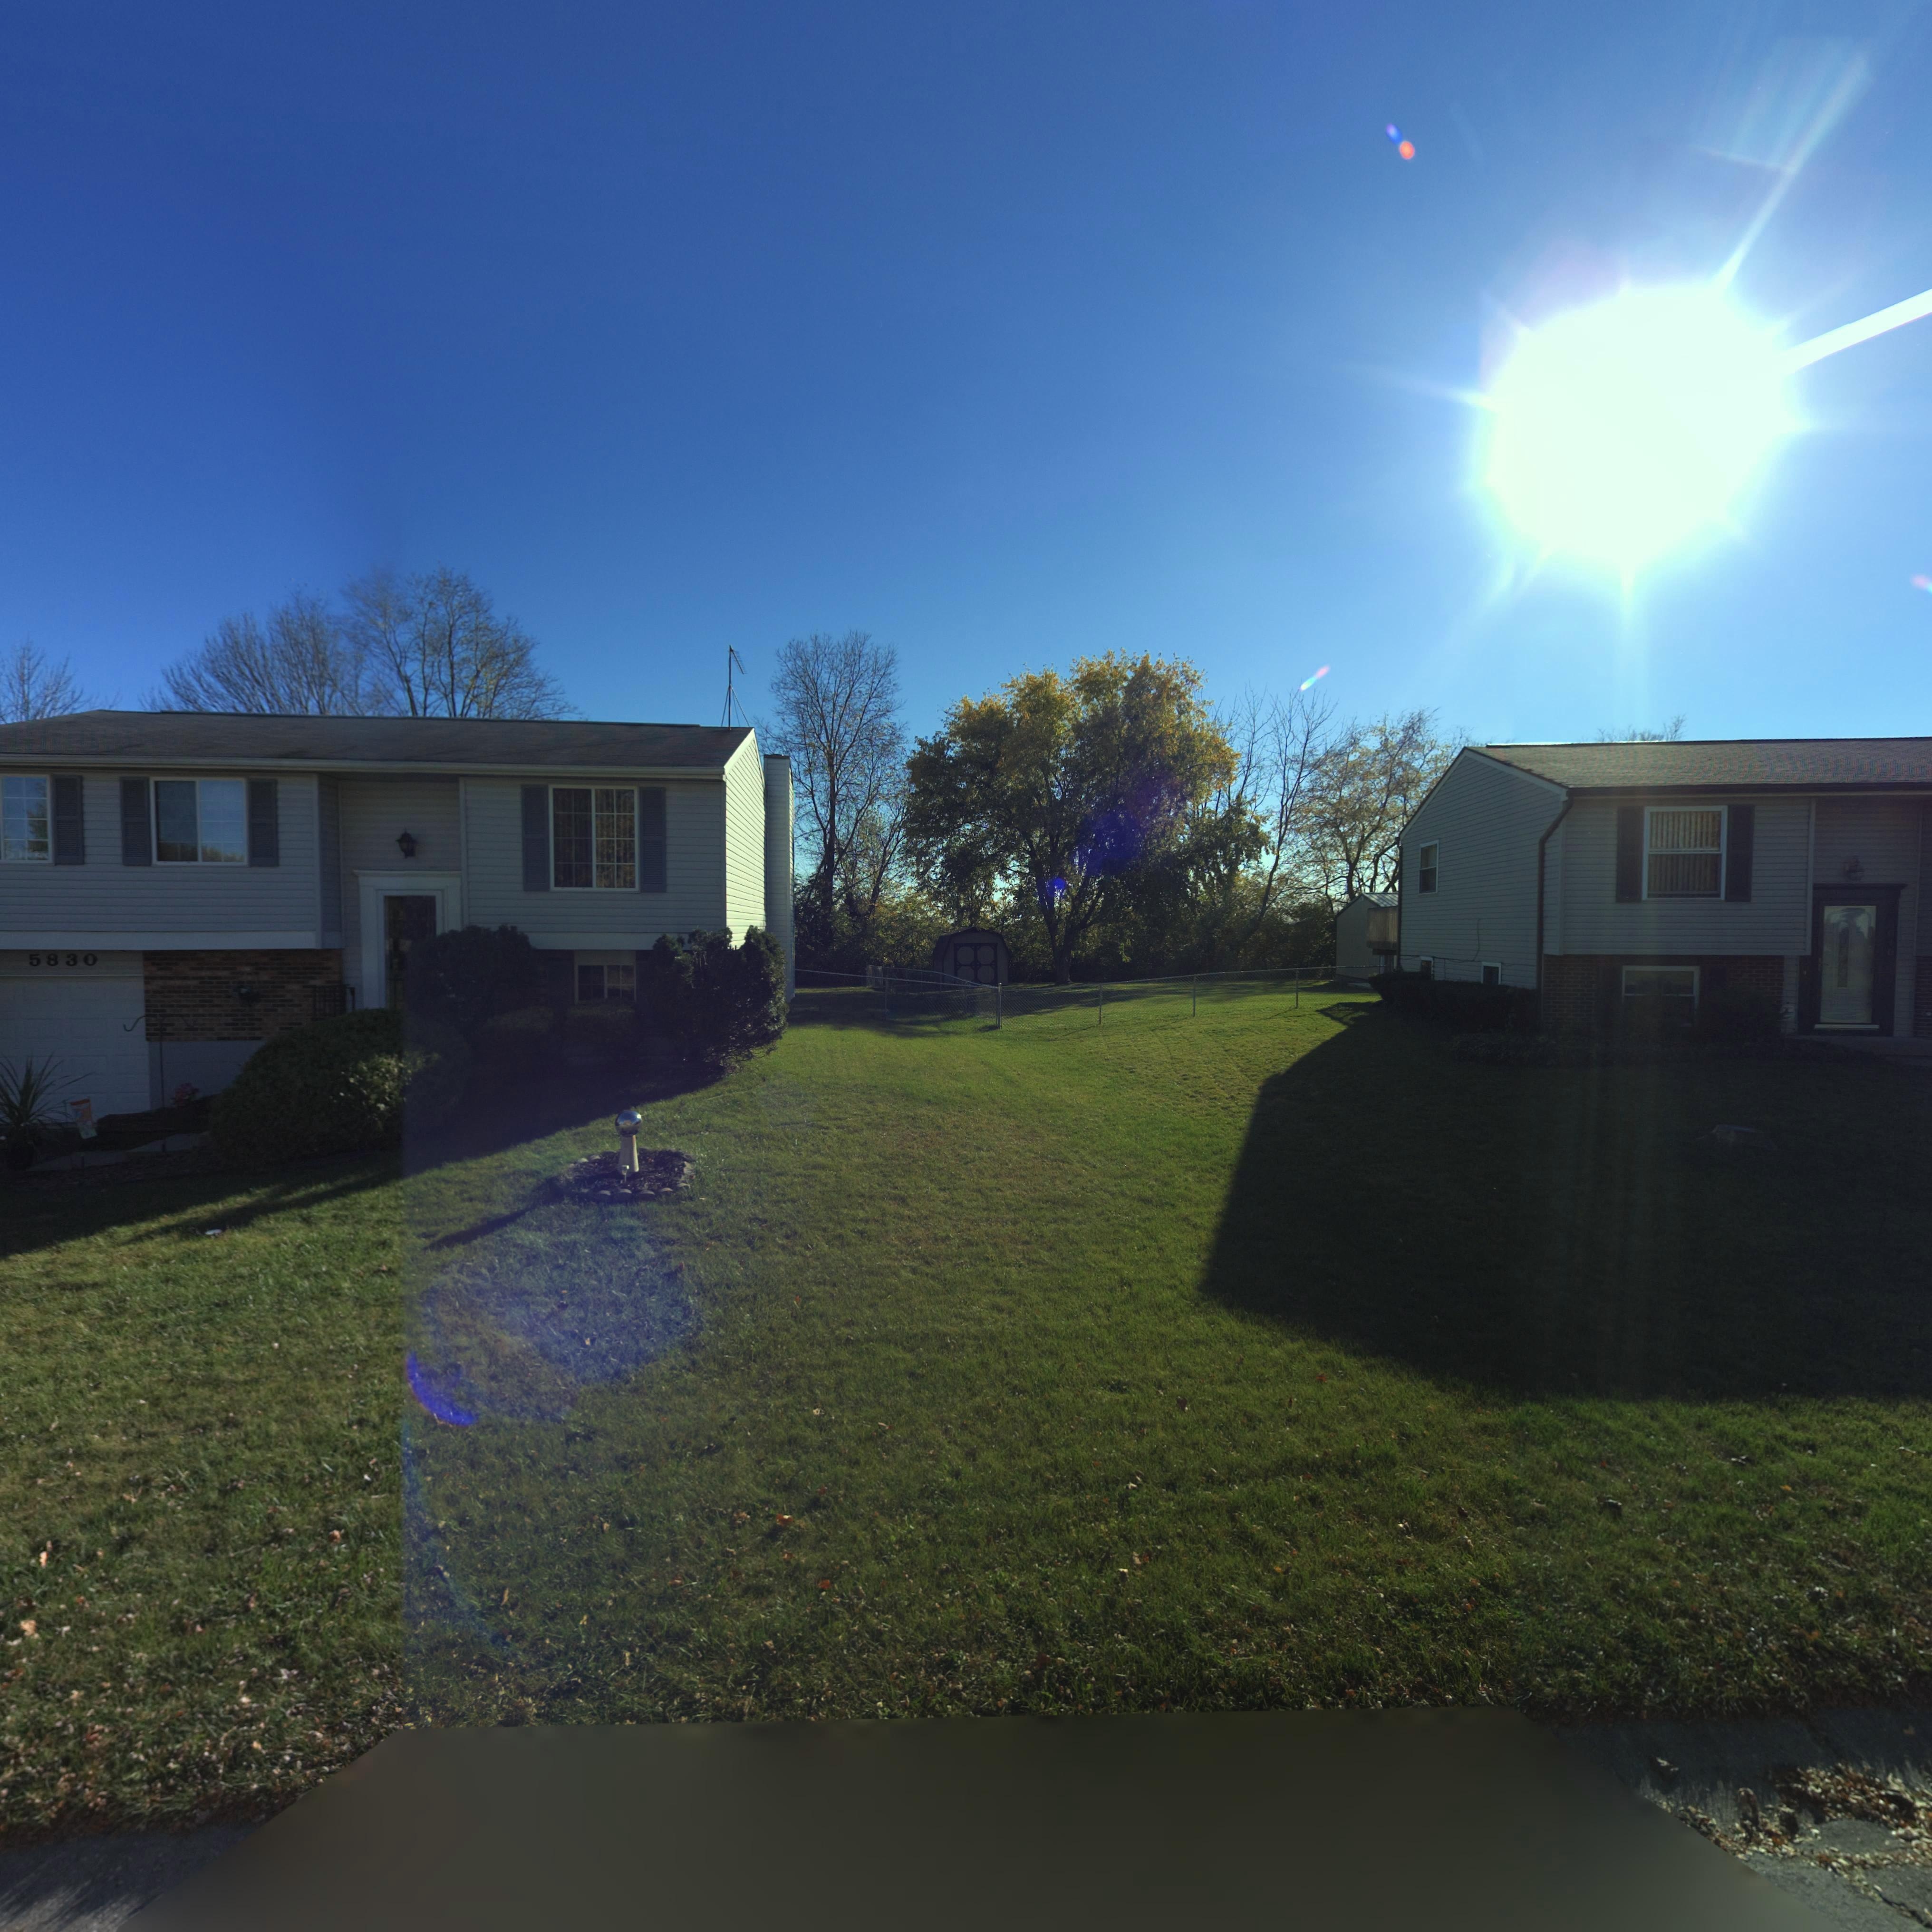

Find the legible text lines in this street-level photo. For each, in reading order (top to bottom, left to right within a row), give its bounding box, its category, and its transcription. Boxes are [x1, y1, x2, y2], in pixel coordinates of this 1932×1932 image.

[28, 952, 98, 967] StreetNumber: 5830